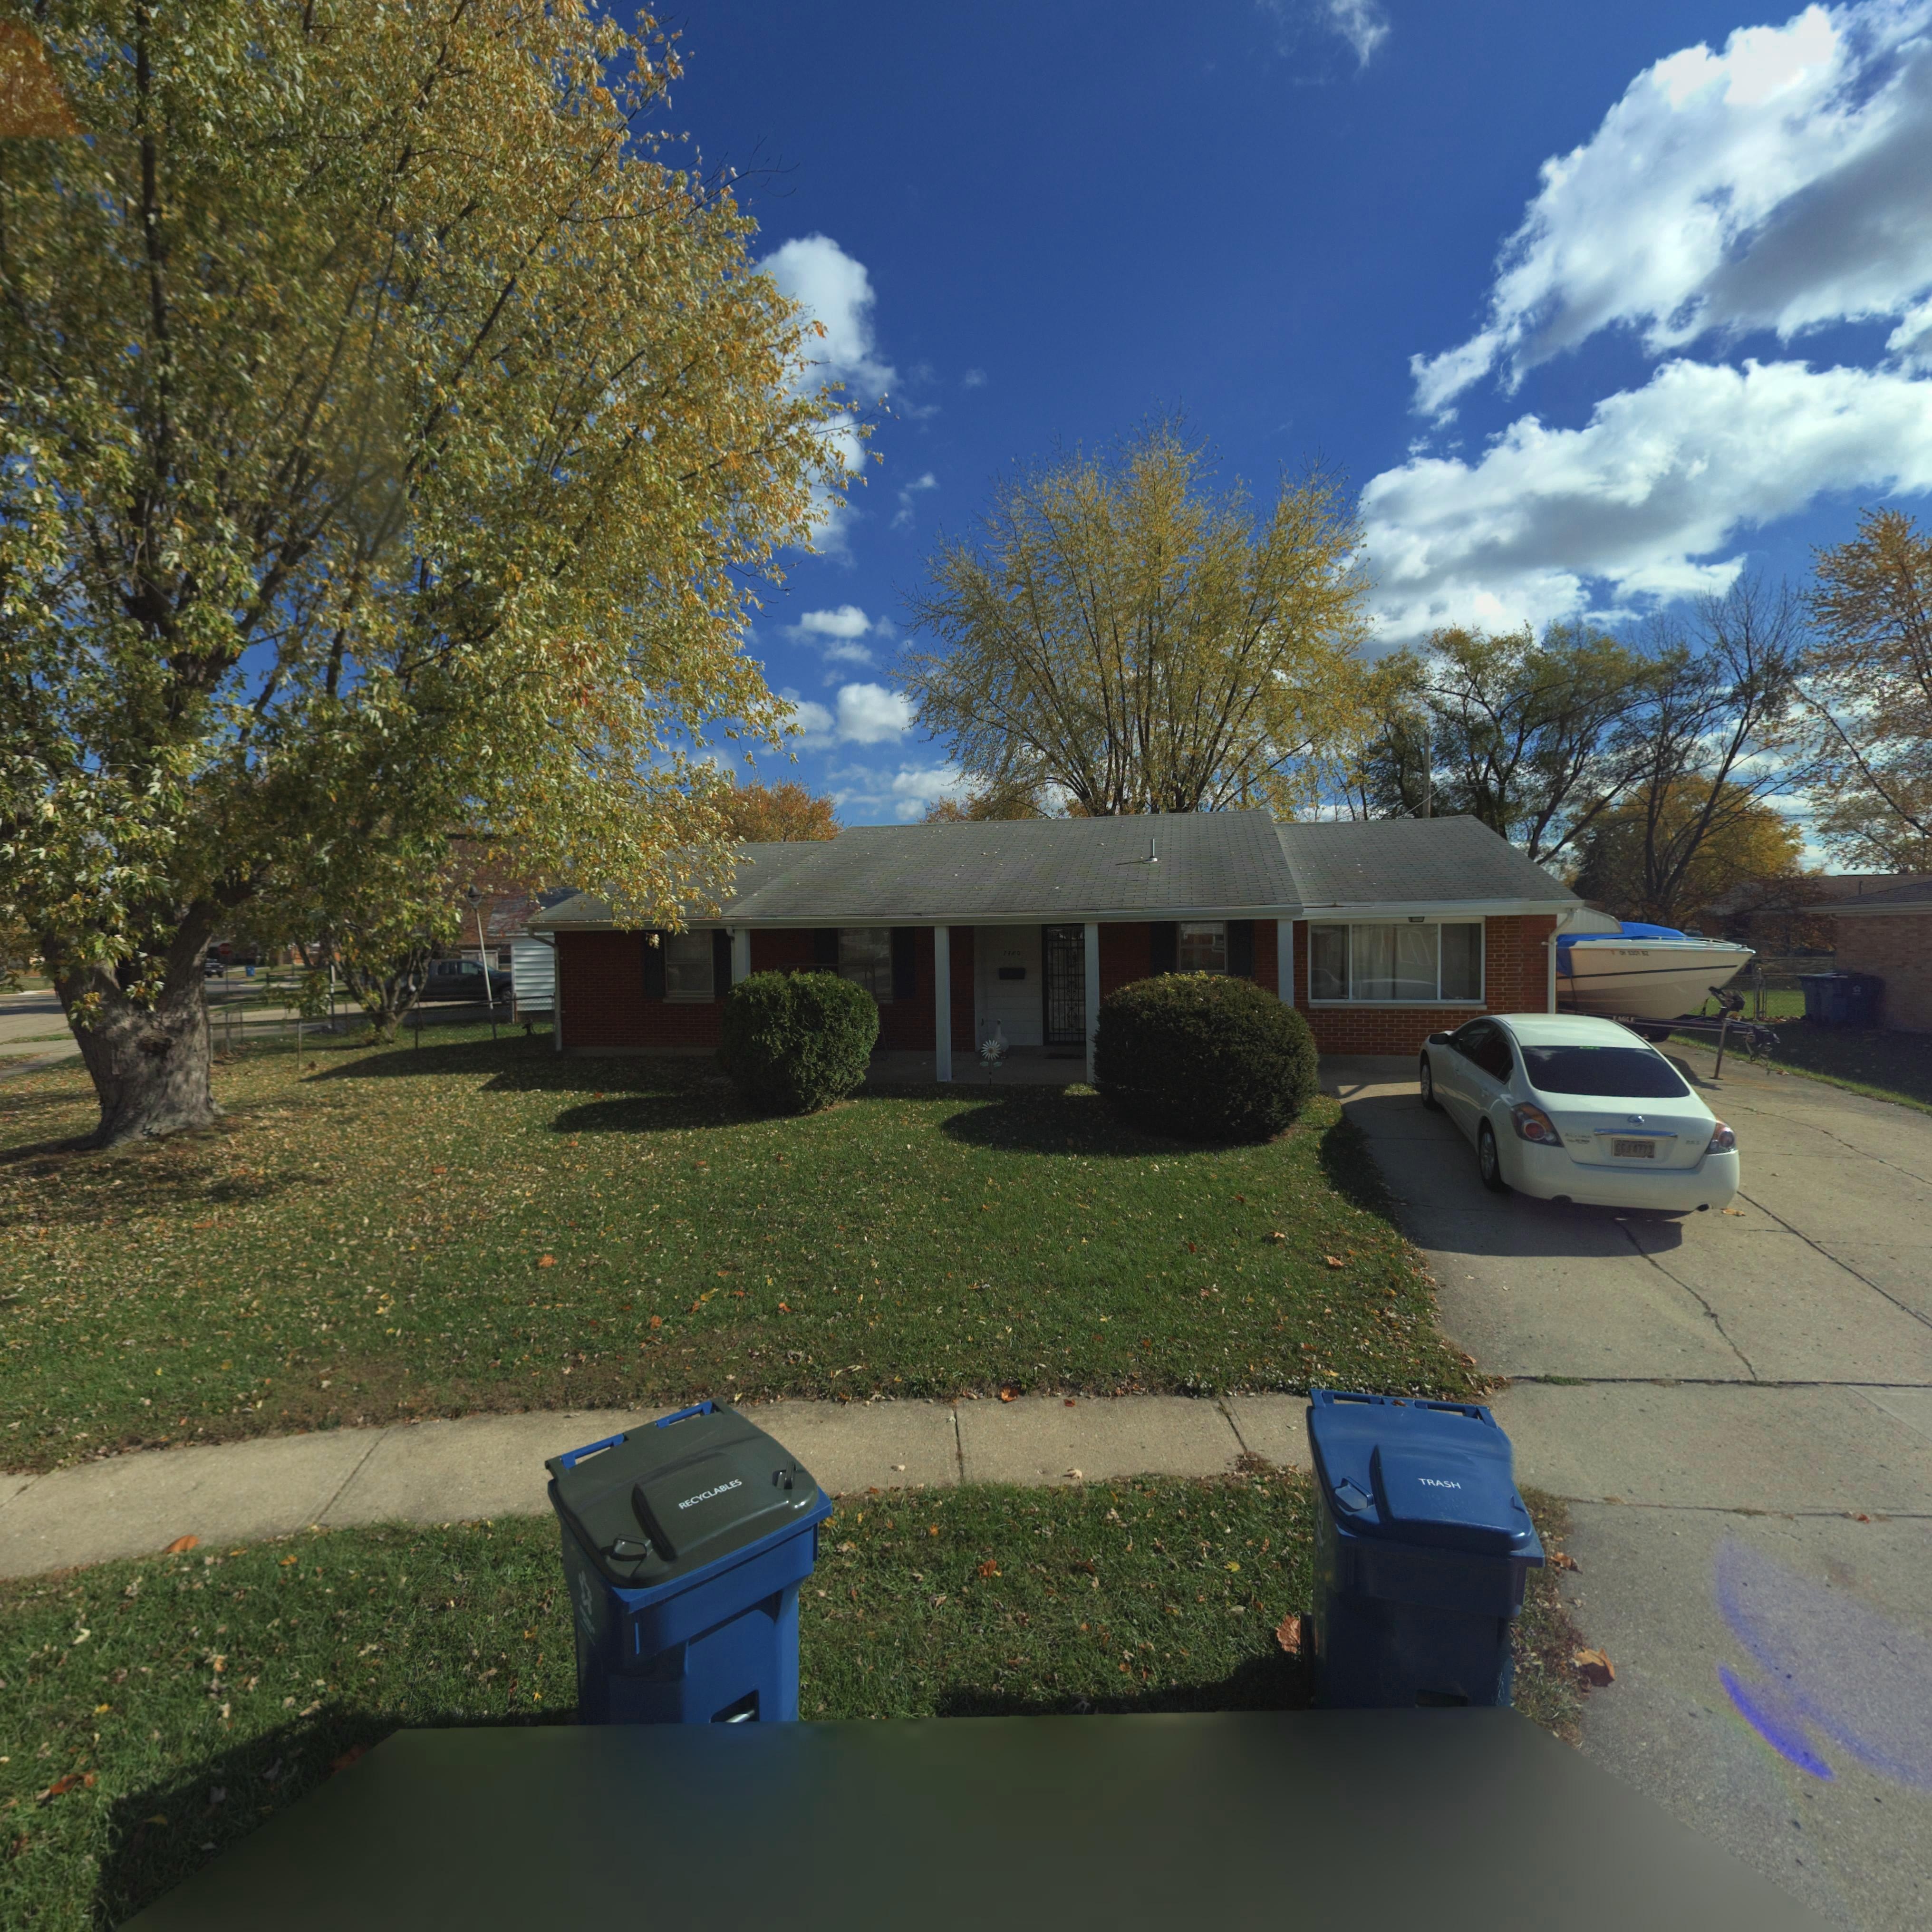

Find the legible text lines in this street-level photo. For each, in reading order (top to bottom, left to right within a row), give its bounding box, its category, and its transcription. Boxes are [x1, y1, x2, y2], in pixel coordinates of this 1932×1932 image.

[1003, 949, 1021, 956] StreetNumber: 7780